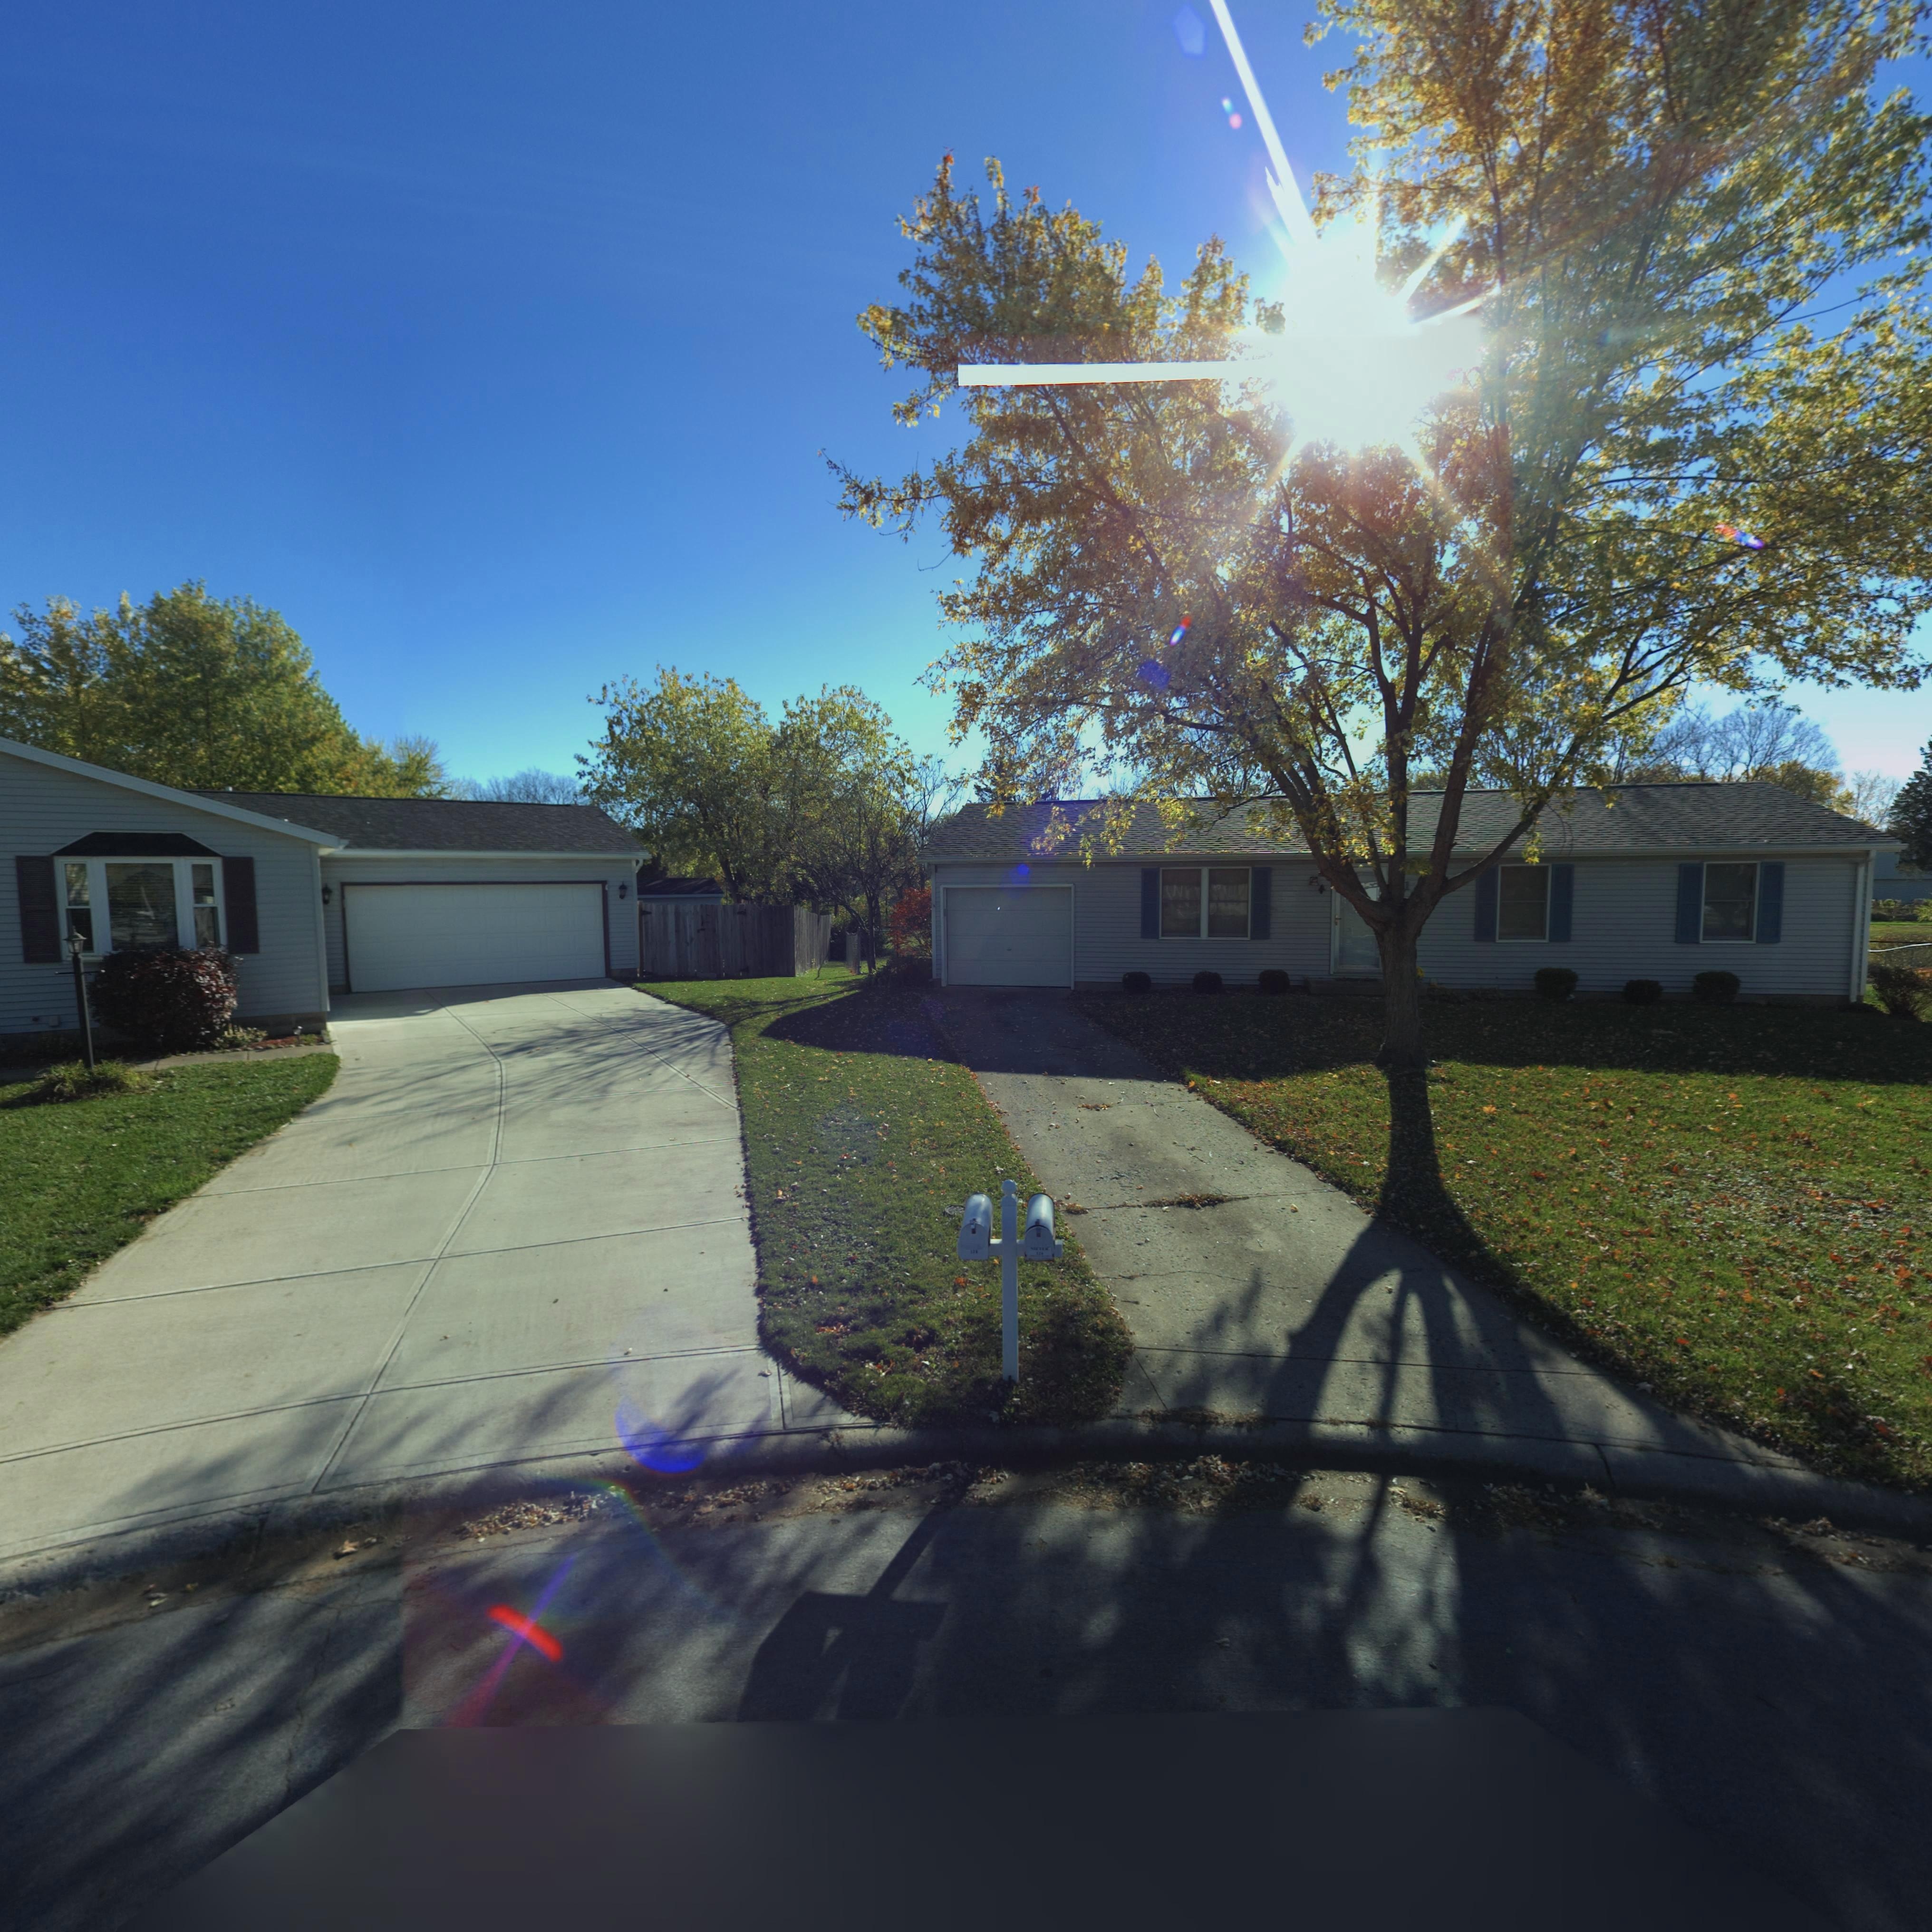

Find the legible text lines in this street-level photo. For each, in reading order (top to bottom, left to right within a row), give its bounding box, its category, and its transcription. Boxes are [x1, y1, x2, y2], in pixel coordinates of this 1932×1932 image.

[1403, 881, 1409, 891] StreetNumber: 1
[970, 1250, 978, 1254] StreetNumber: 12*
[1036, 1251, 1043, 1256] StreetNumber: 12*